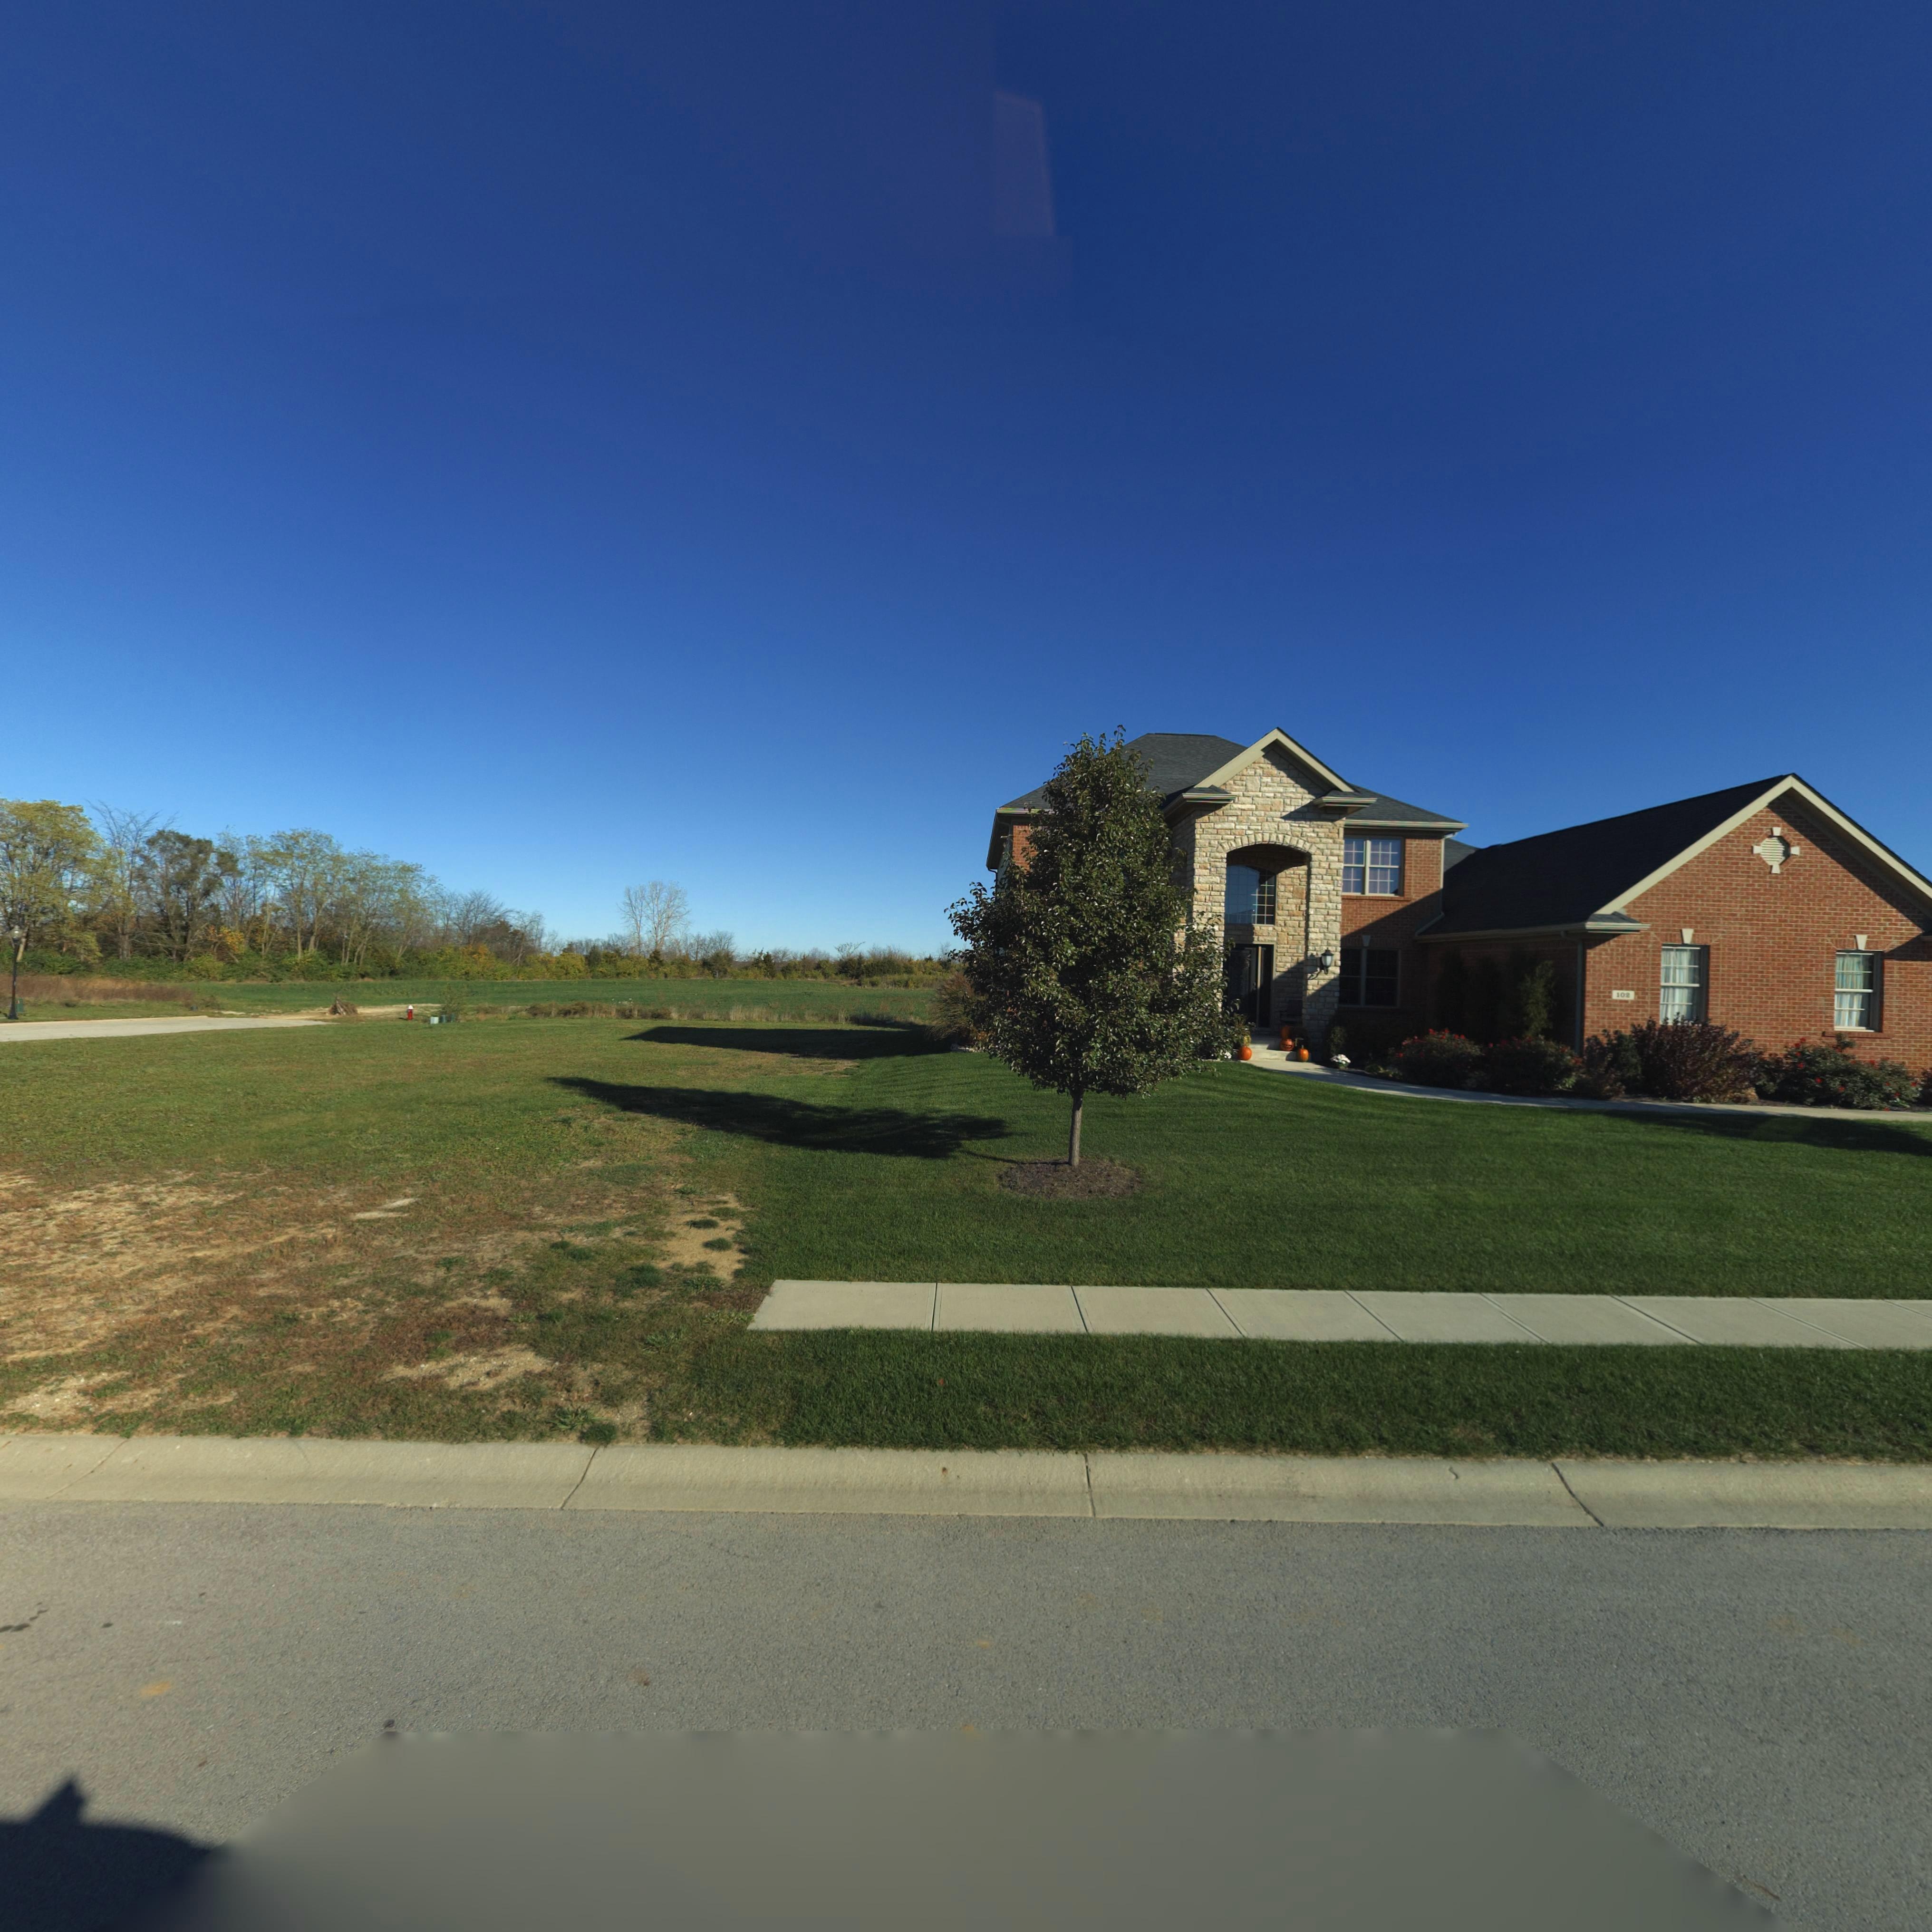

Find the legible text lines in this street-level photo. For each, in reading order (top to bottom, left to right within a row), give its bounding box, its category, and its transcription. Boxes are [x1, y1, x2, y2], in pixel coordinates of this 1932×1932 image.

[1616, 991, 1631, 999] StreetNumber: 10*